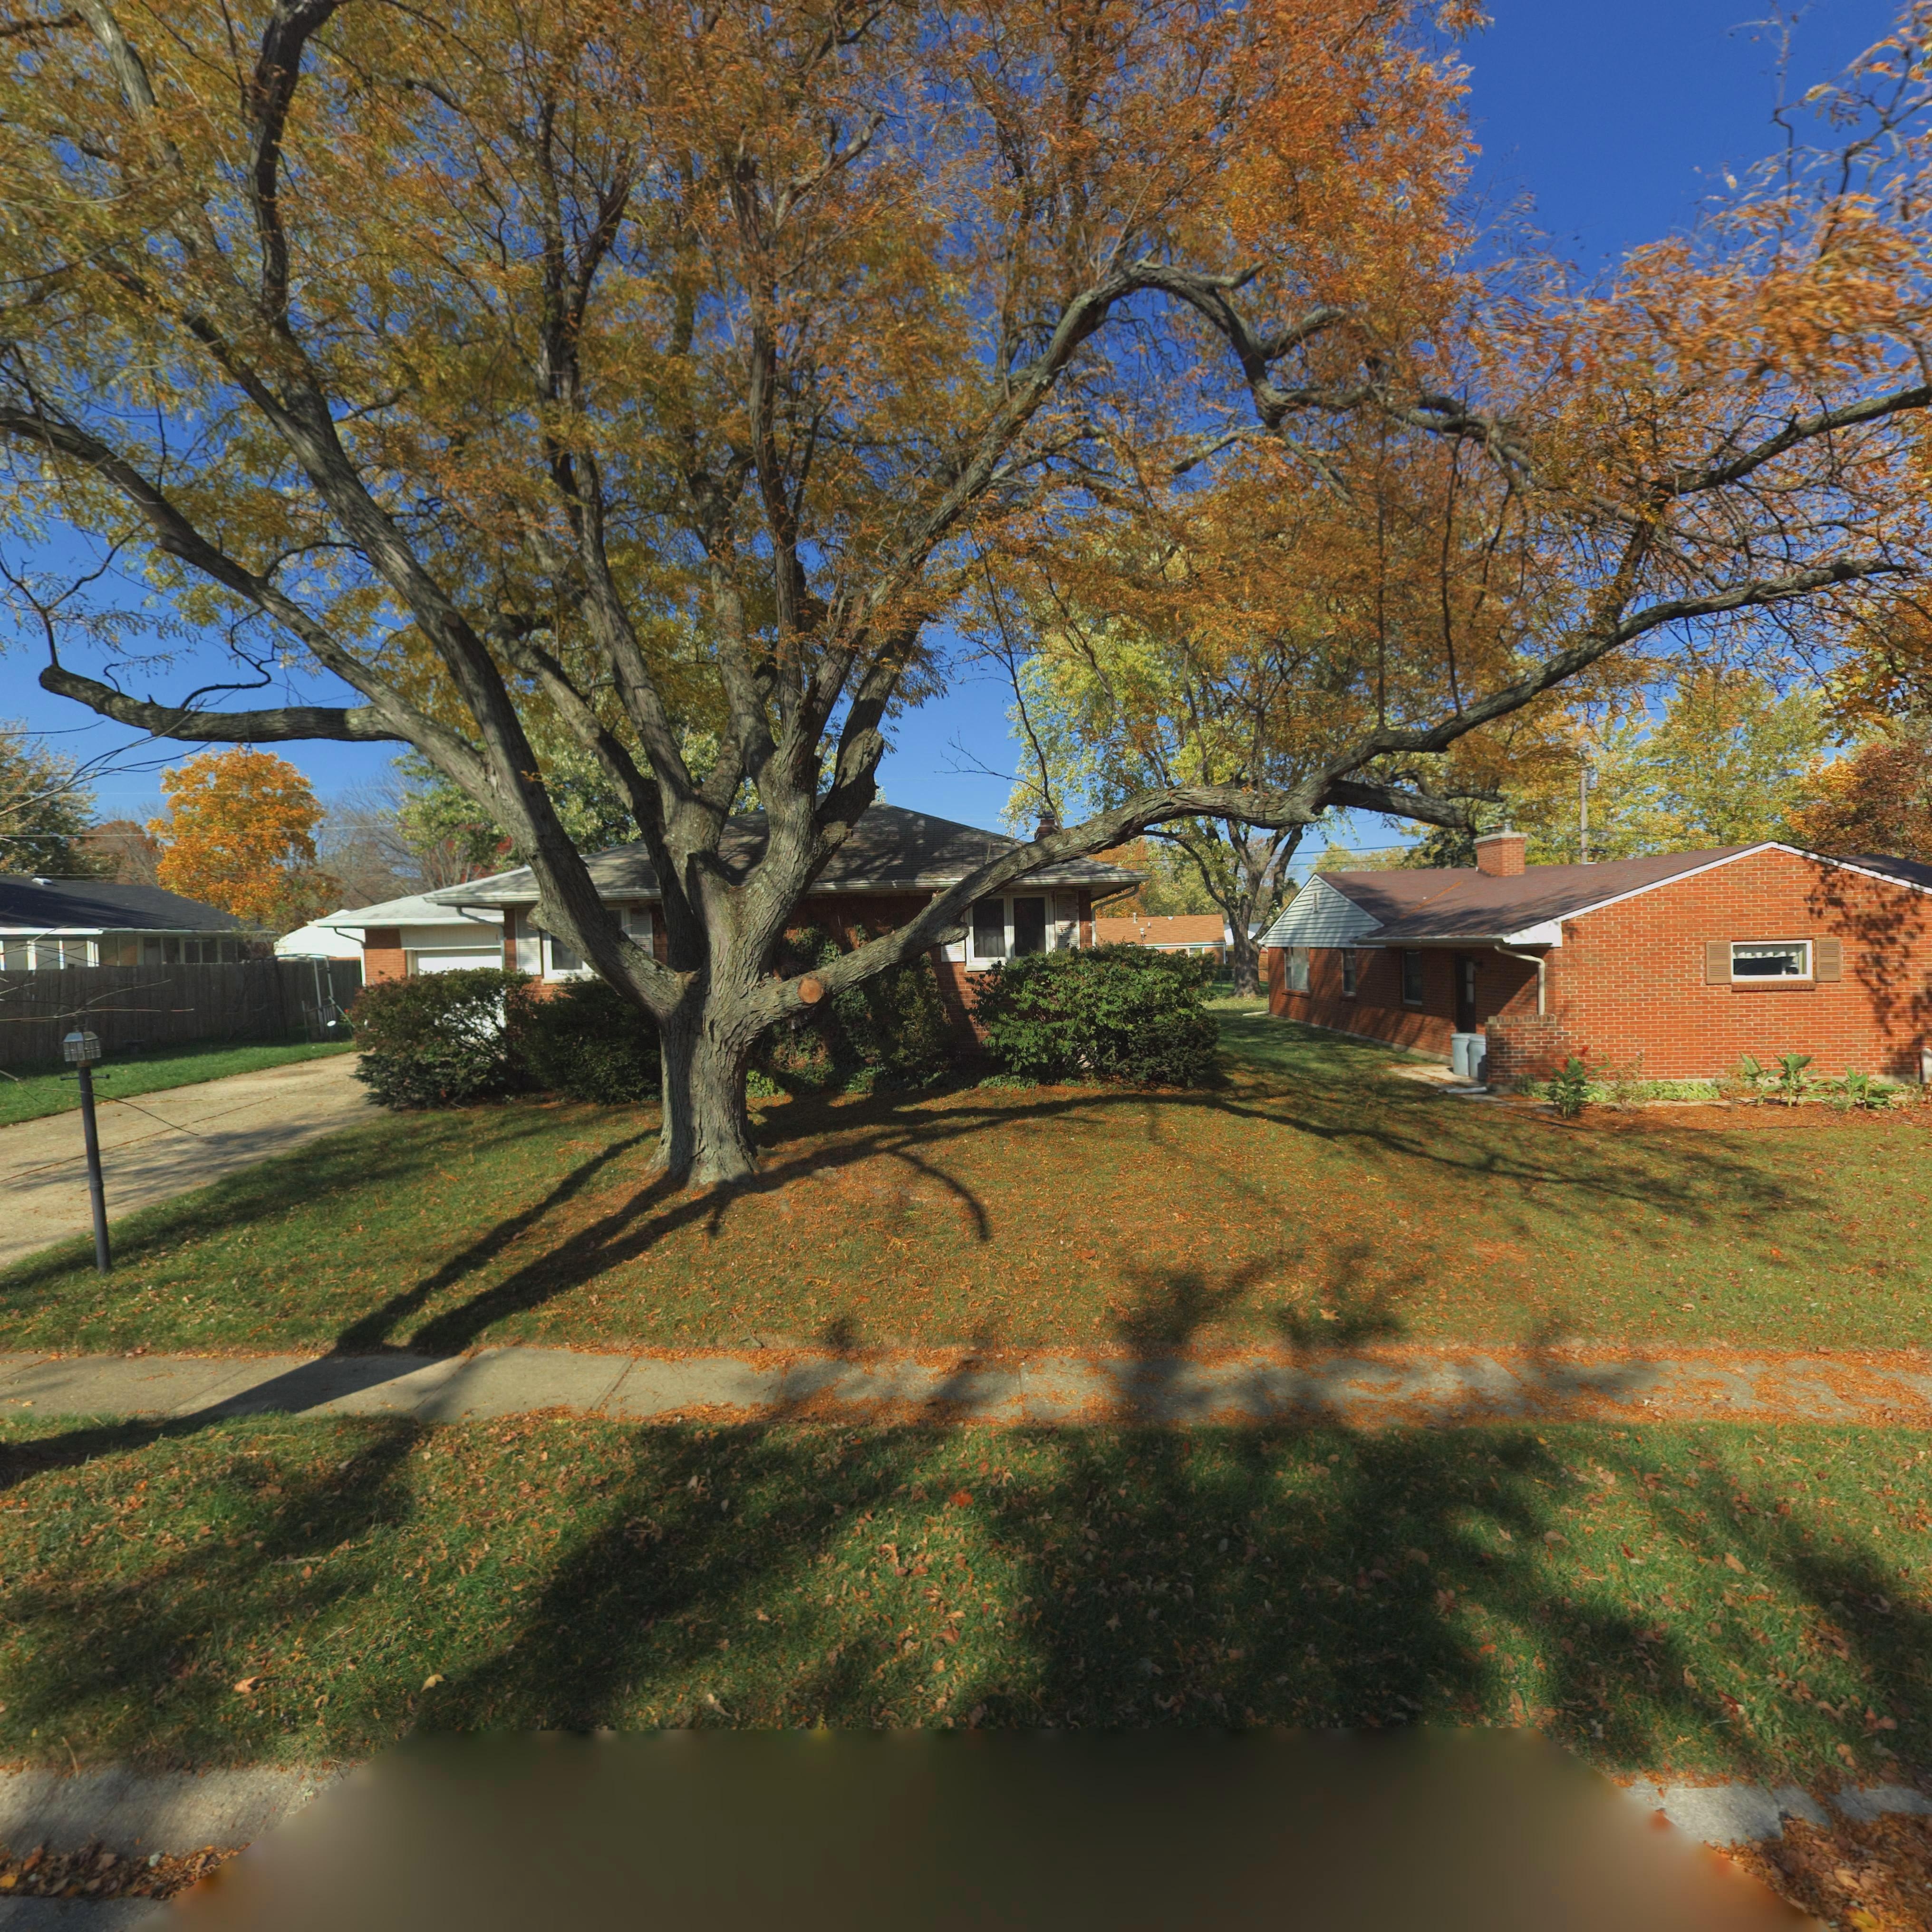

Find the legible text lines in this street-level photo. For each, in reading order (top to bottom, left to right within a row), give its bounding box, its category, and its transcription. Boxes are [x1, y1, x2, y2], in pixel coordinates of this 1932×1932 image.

[494, 933, 500, 942] StreetNumber: 1